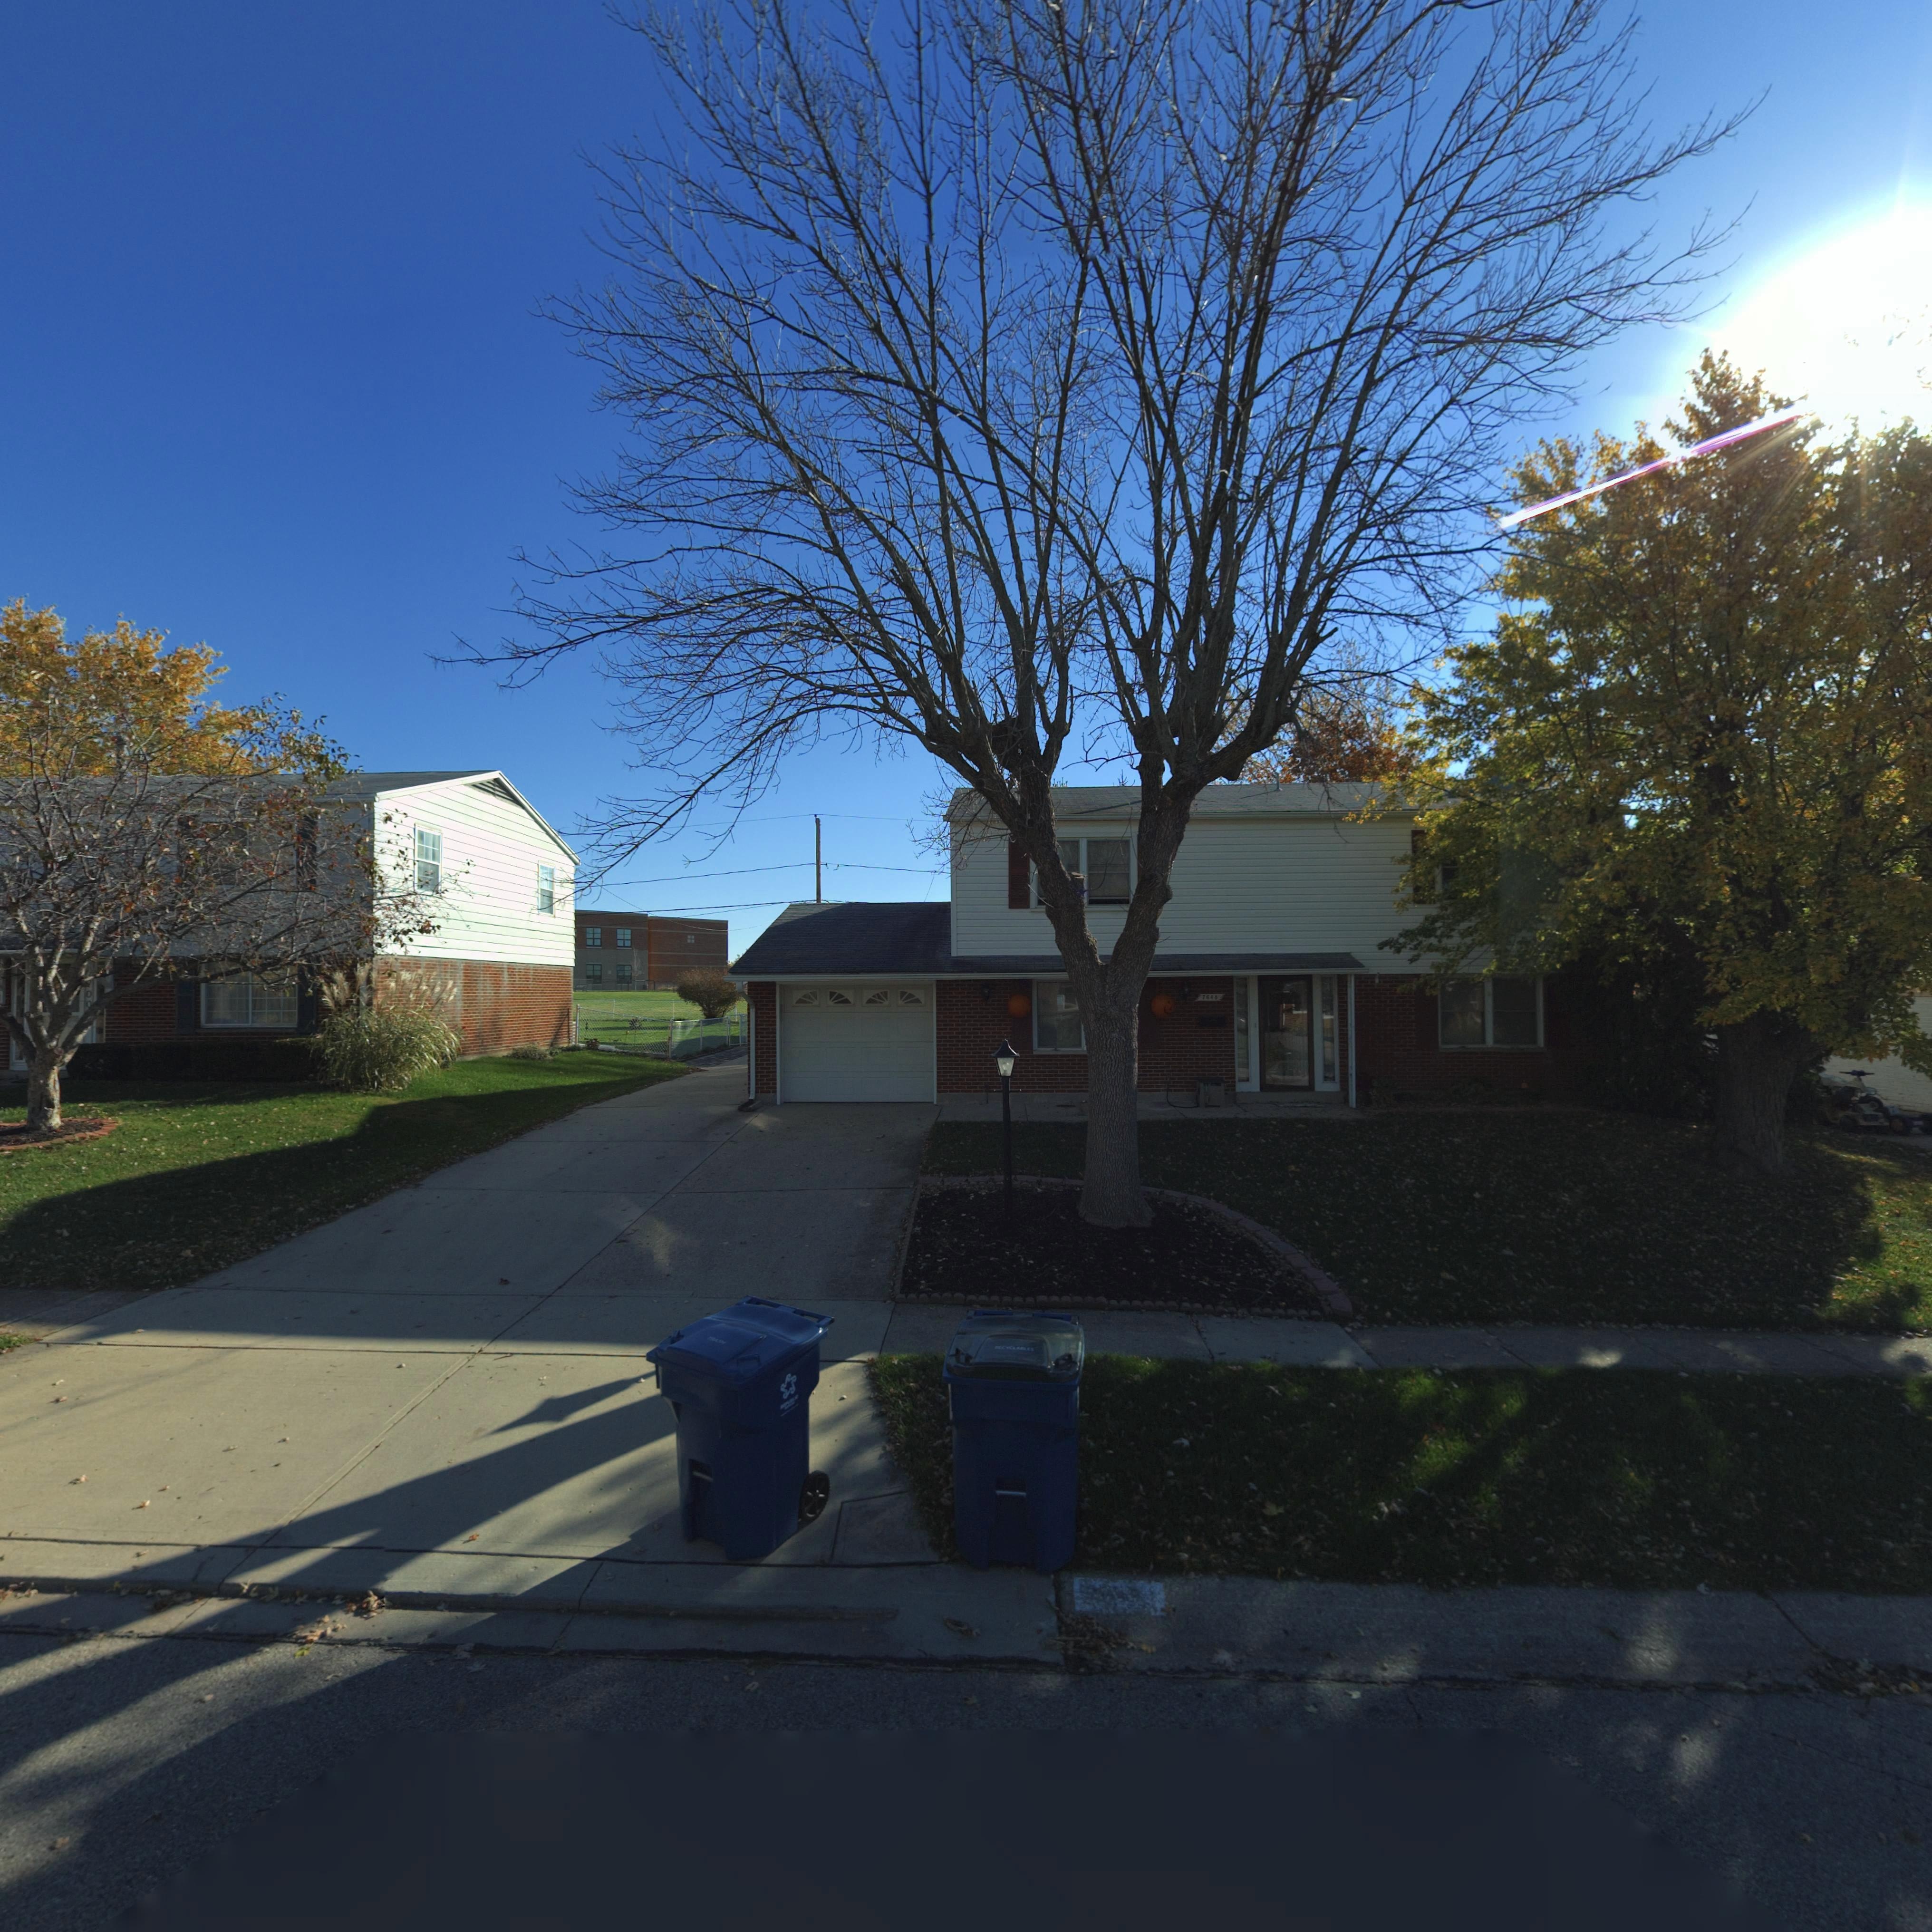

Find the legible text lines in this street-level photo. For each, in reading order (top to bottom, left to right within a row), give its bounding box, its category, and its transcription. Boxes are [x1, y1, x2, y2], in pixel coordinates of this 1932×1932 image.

[1202, 995, 1218, 1000] StreetNumber: 7648